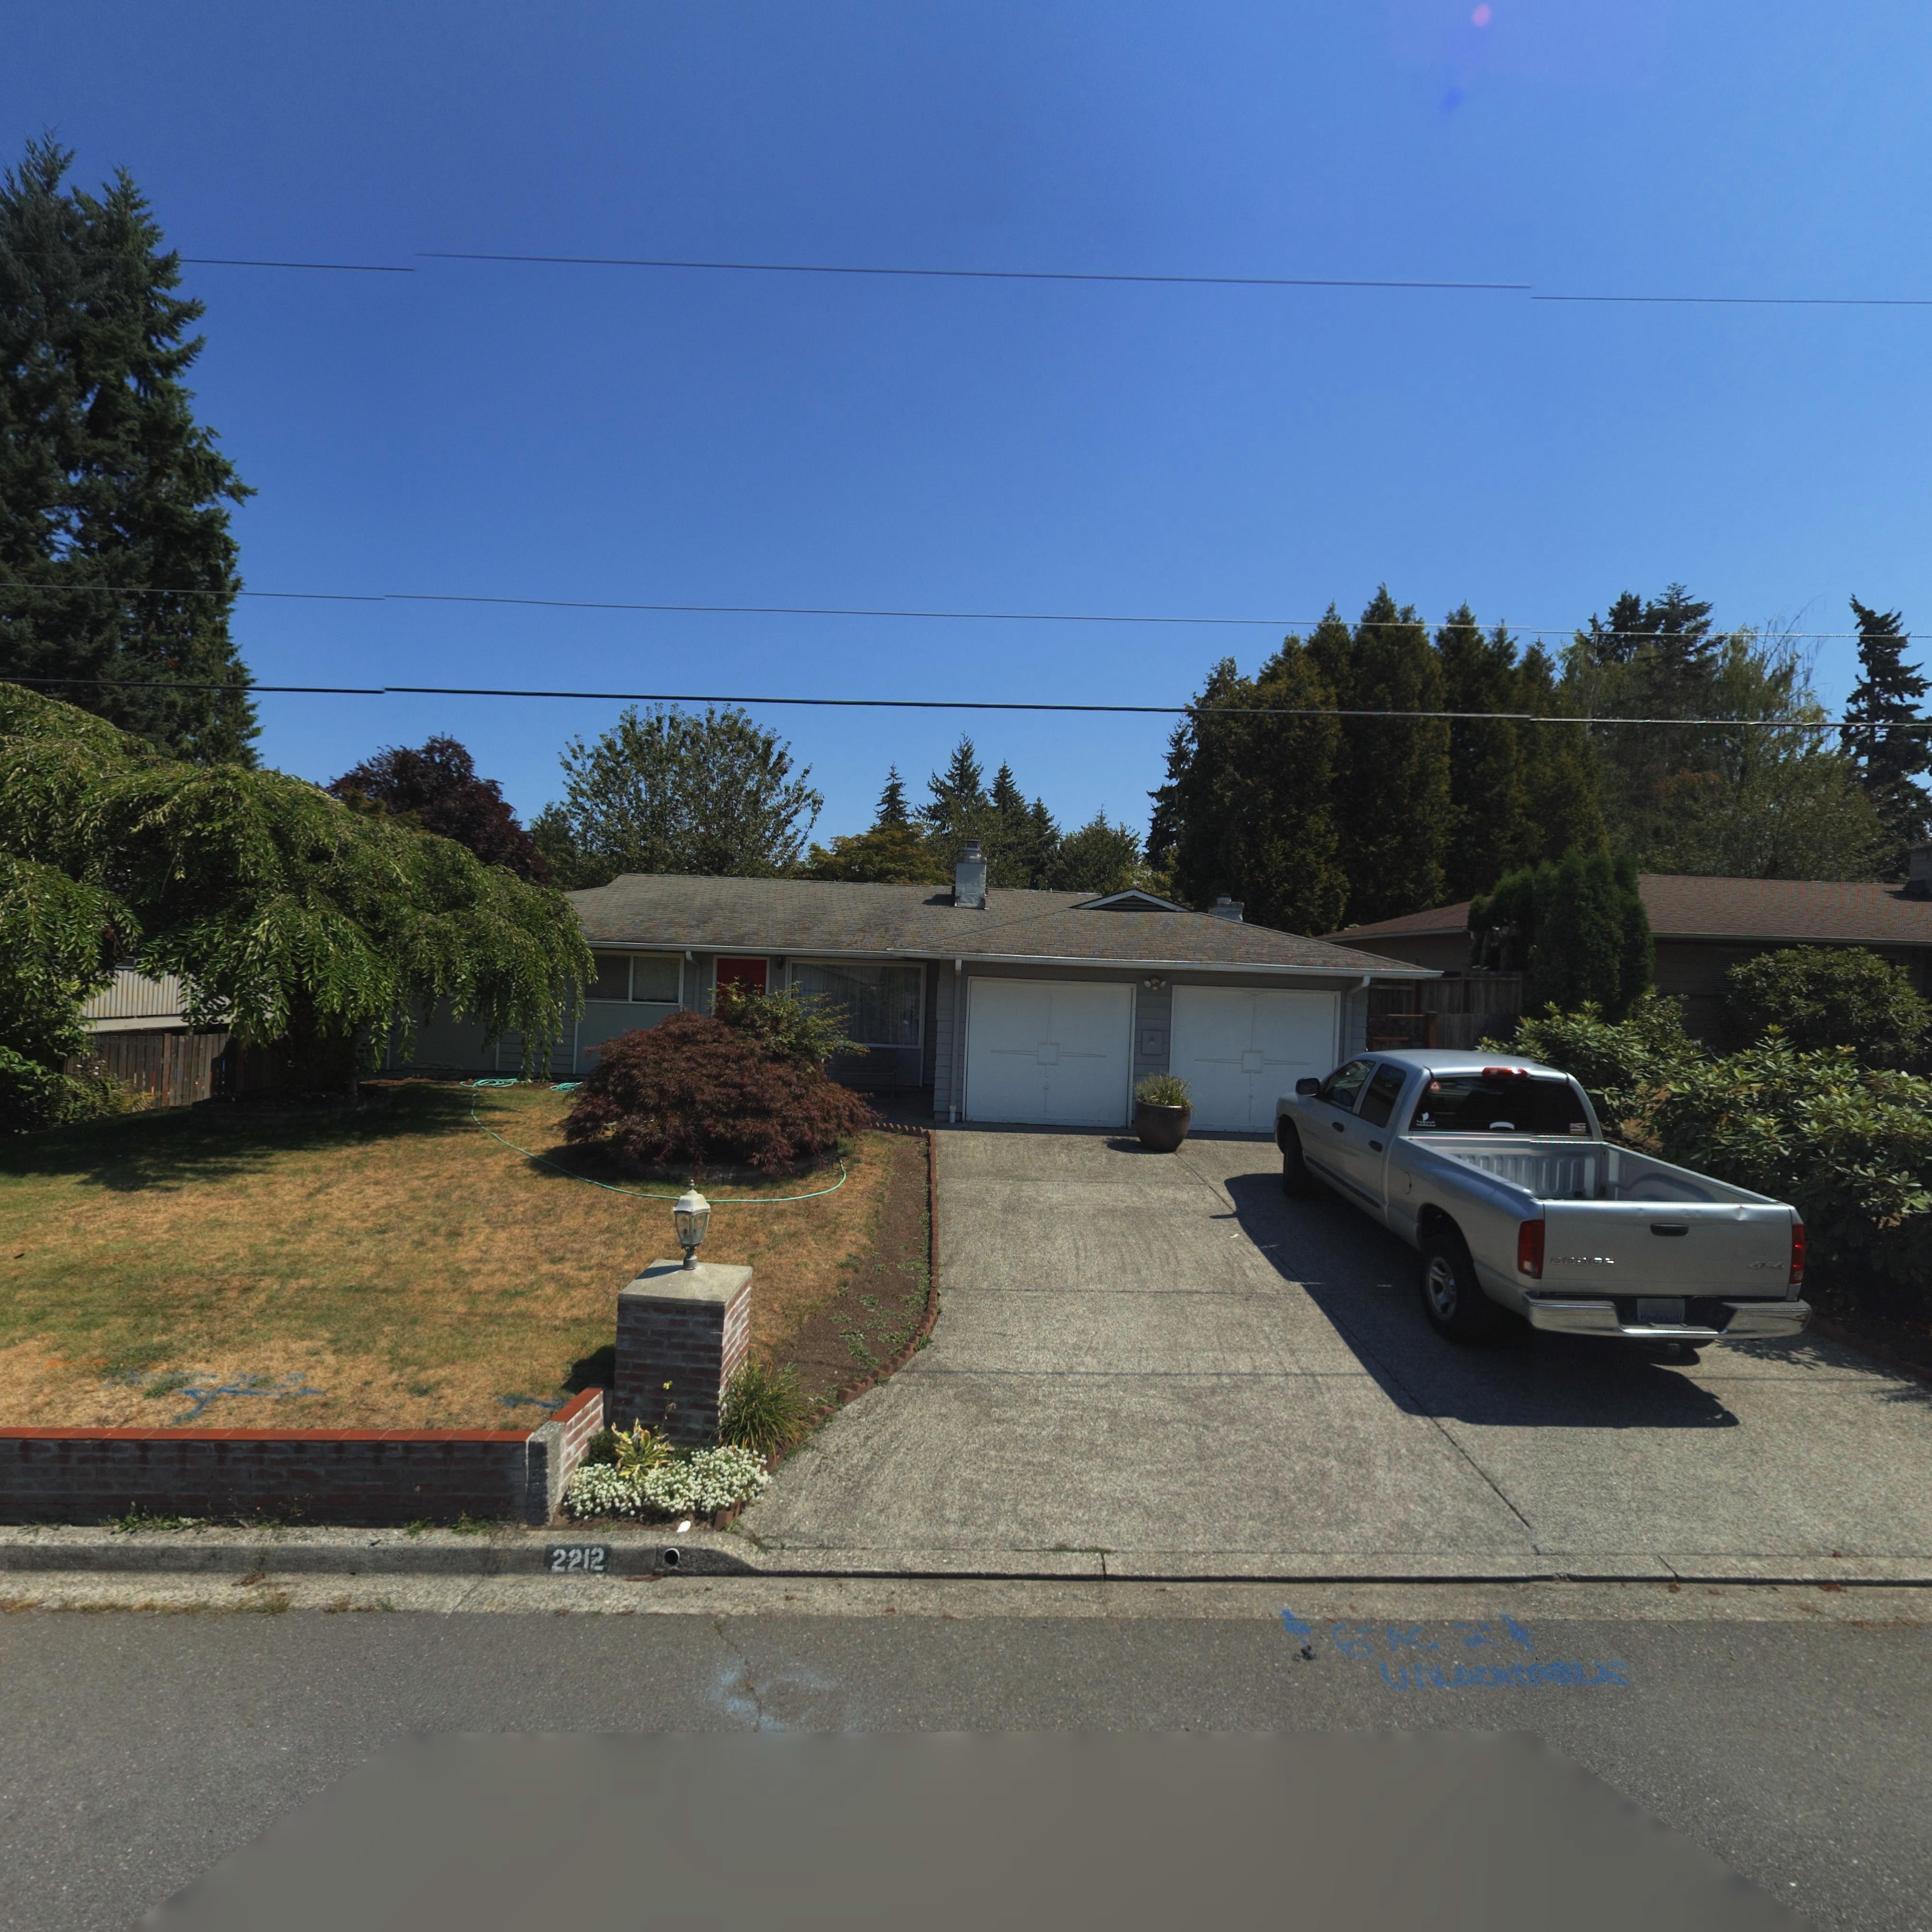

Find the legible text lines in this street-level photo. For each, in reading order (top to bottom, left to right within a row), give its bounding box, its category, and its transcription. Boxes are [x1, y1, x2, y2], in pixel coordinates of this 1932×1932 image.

[549, 1545, 608, 1573] StreetNumber: 2212